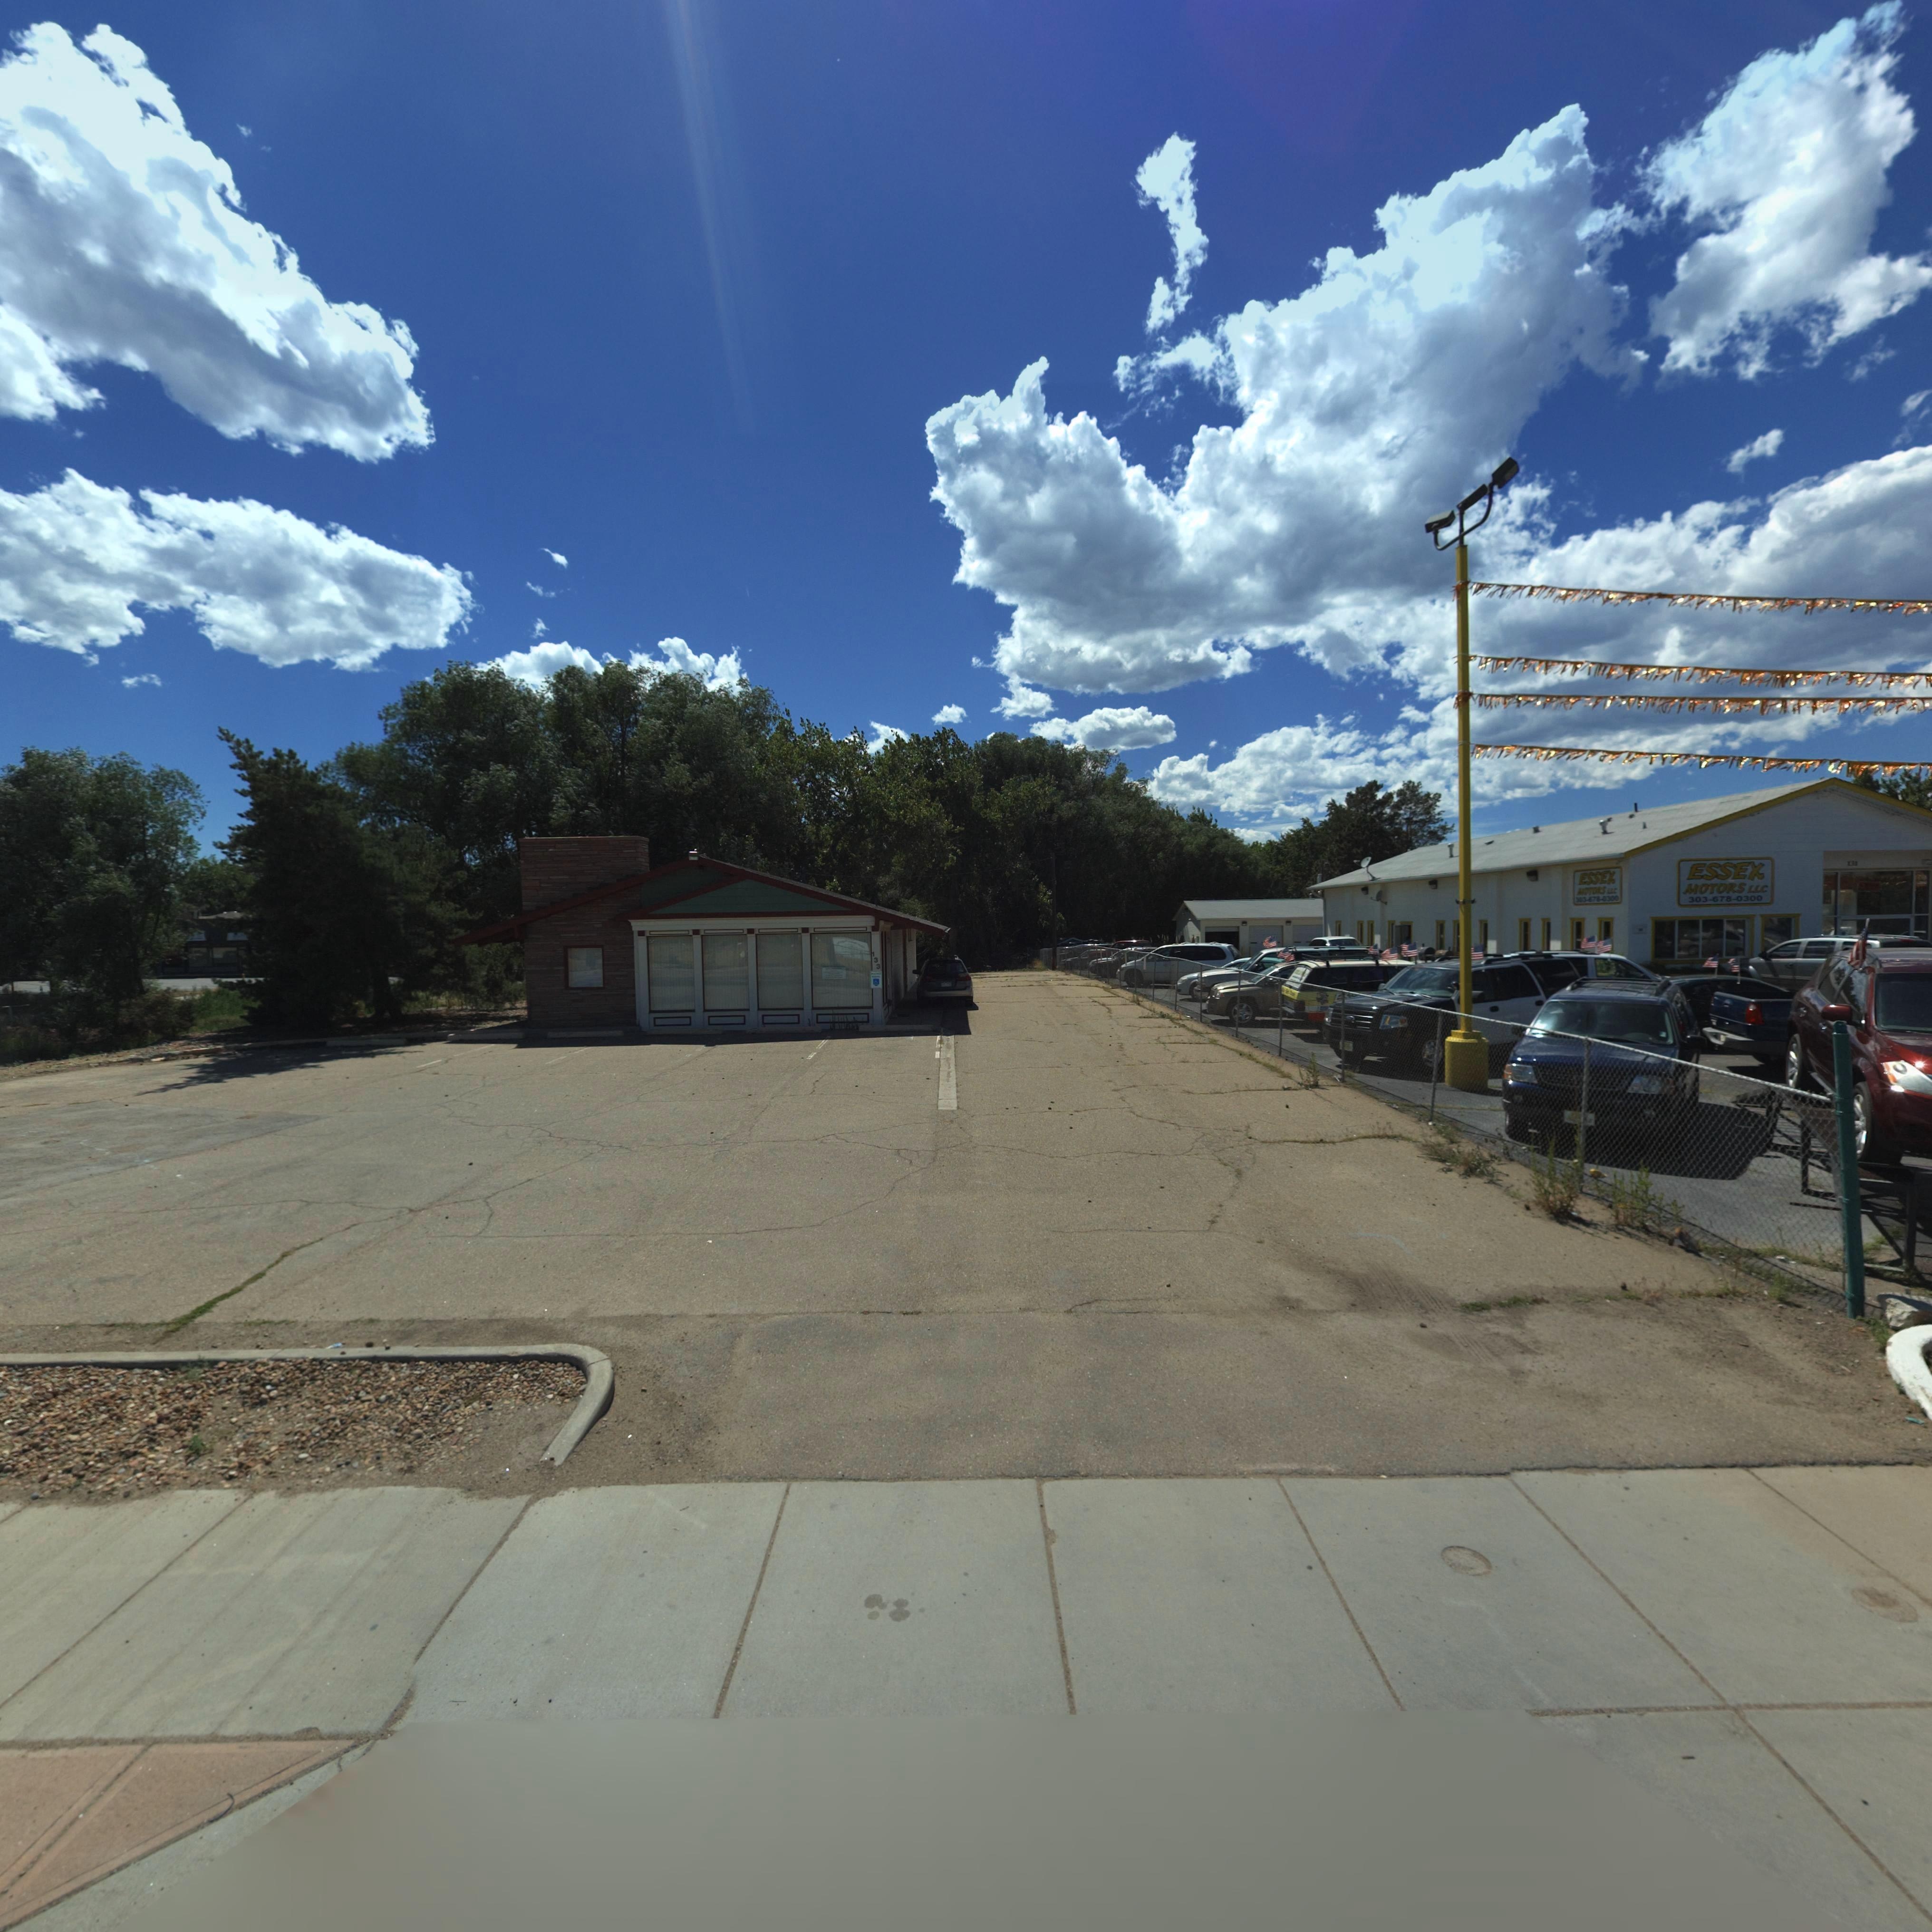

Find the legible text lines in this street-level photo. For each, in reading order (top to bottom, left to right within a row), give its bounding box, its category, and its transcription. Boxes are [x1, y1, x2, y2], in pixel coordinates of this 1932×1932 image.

[1578, 869, 1616, 885] BusinessName: ESSEX
[1685, 860, 1765, 881] BusinessName: ESSEX
[1576, 886, 1617, 896] BusinessName: MOTORS LLC
[1682, 882, 1768, 895] BusinessName: MOTORS LLC
[870, 951, 880, 969] StreetNumber: 133